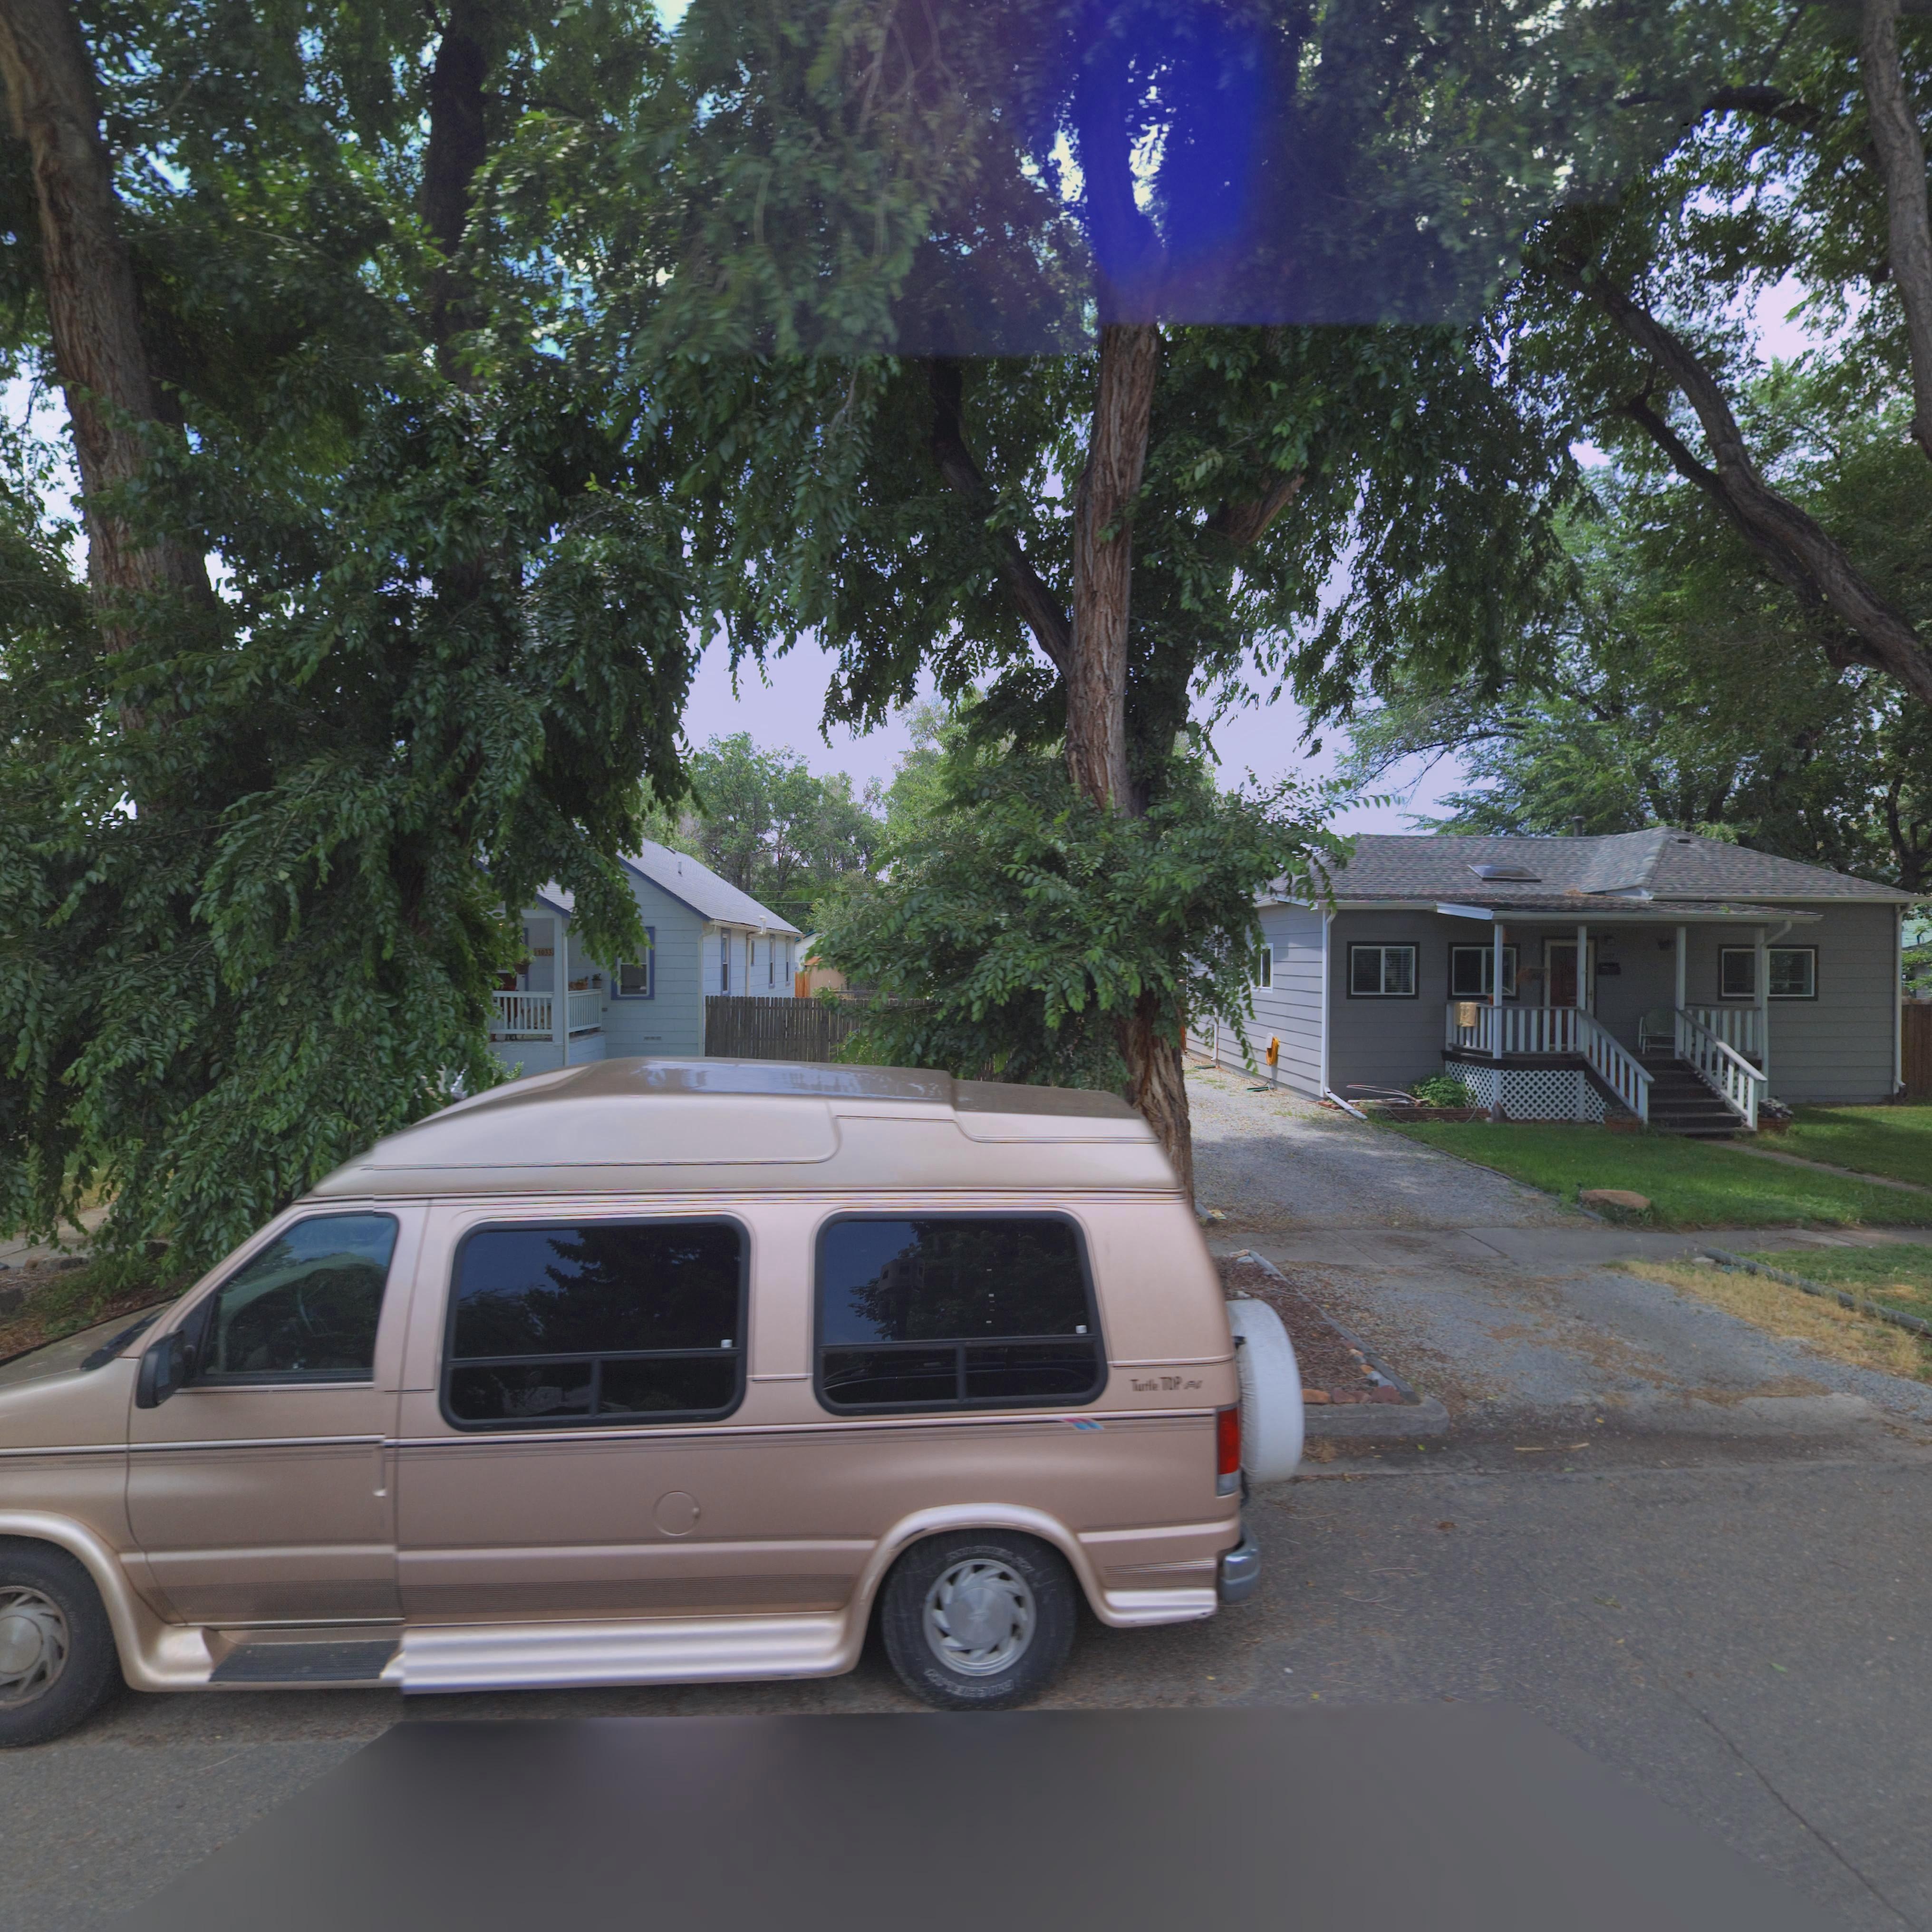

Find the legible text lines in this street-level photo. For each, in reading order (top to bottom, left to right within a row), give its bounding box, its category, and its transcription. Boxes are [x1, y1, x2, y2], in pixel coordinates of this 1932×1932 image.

[537, 949, 552, 956] StreetNumber: 1033